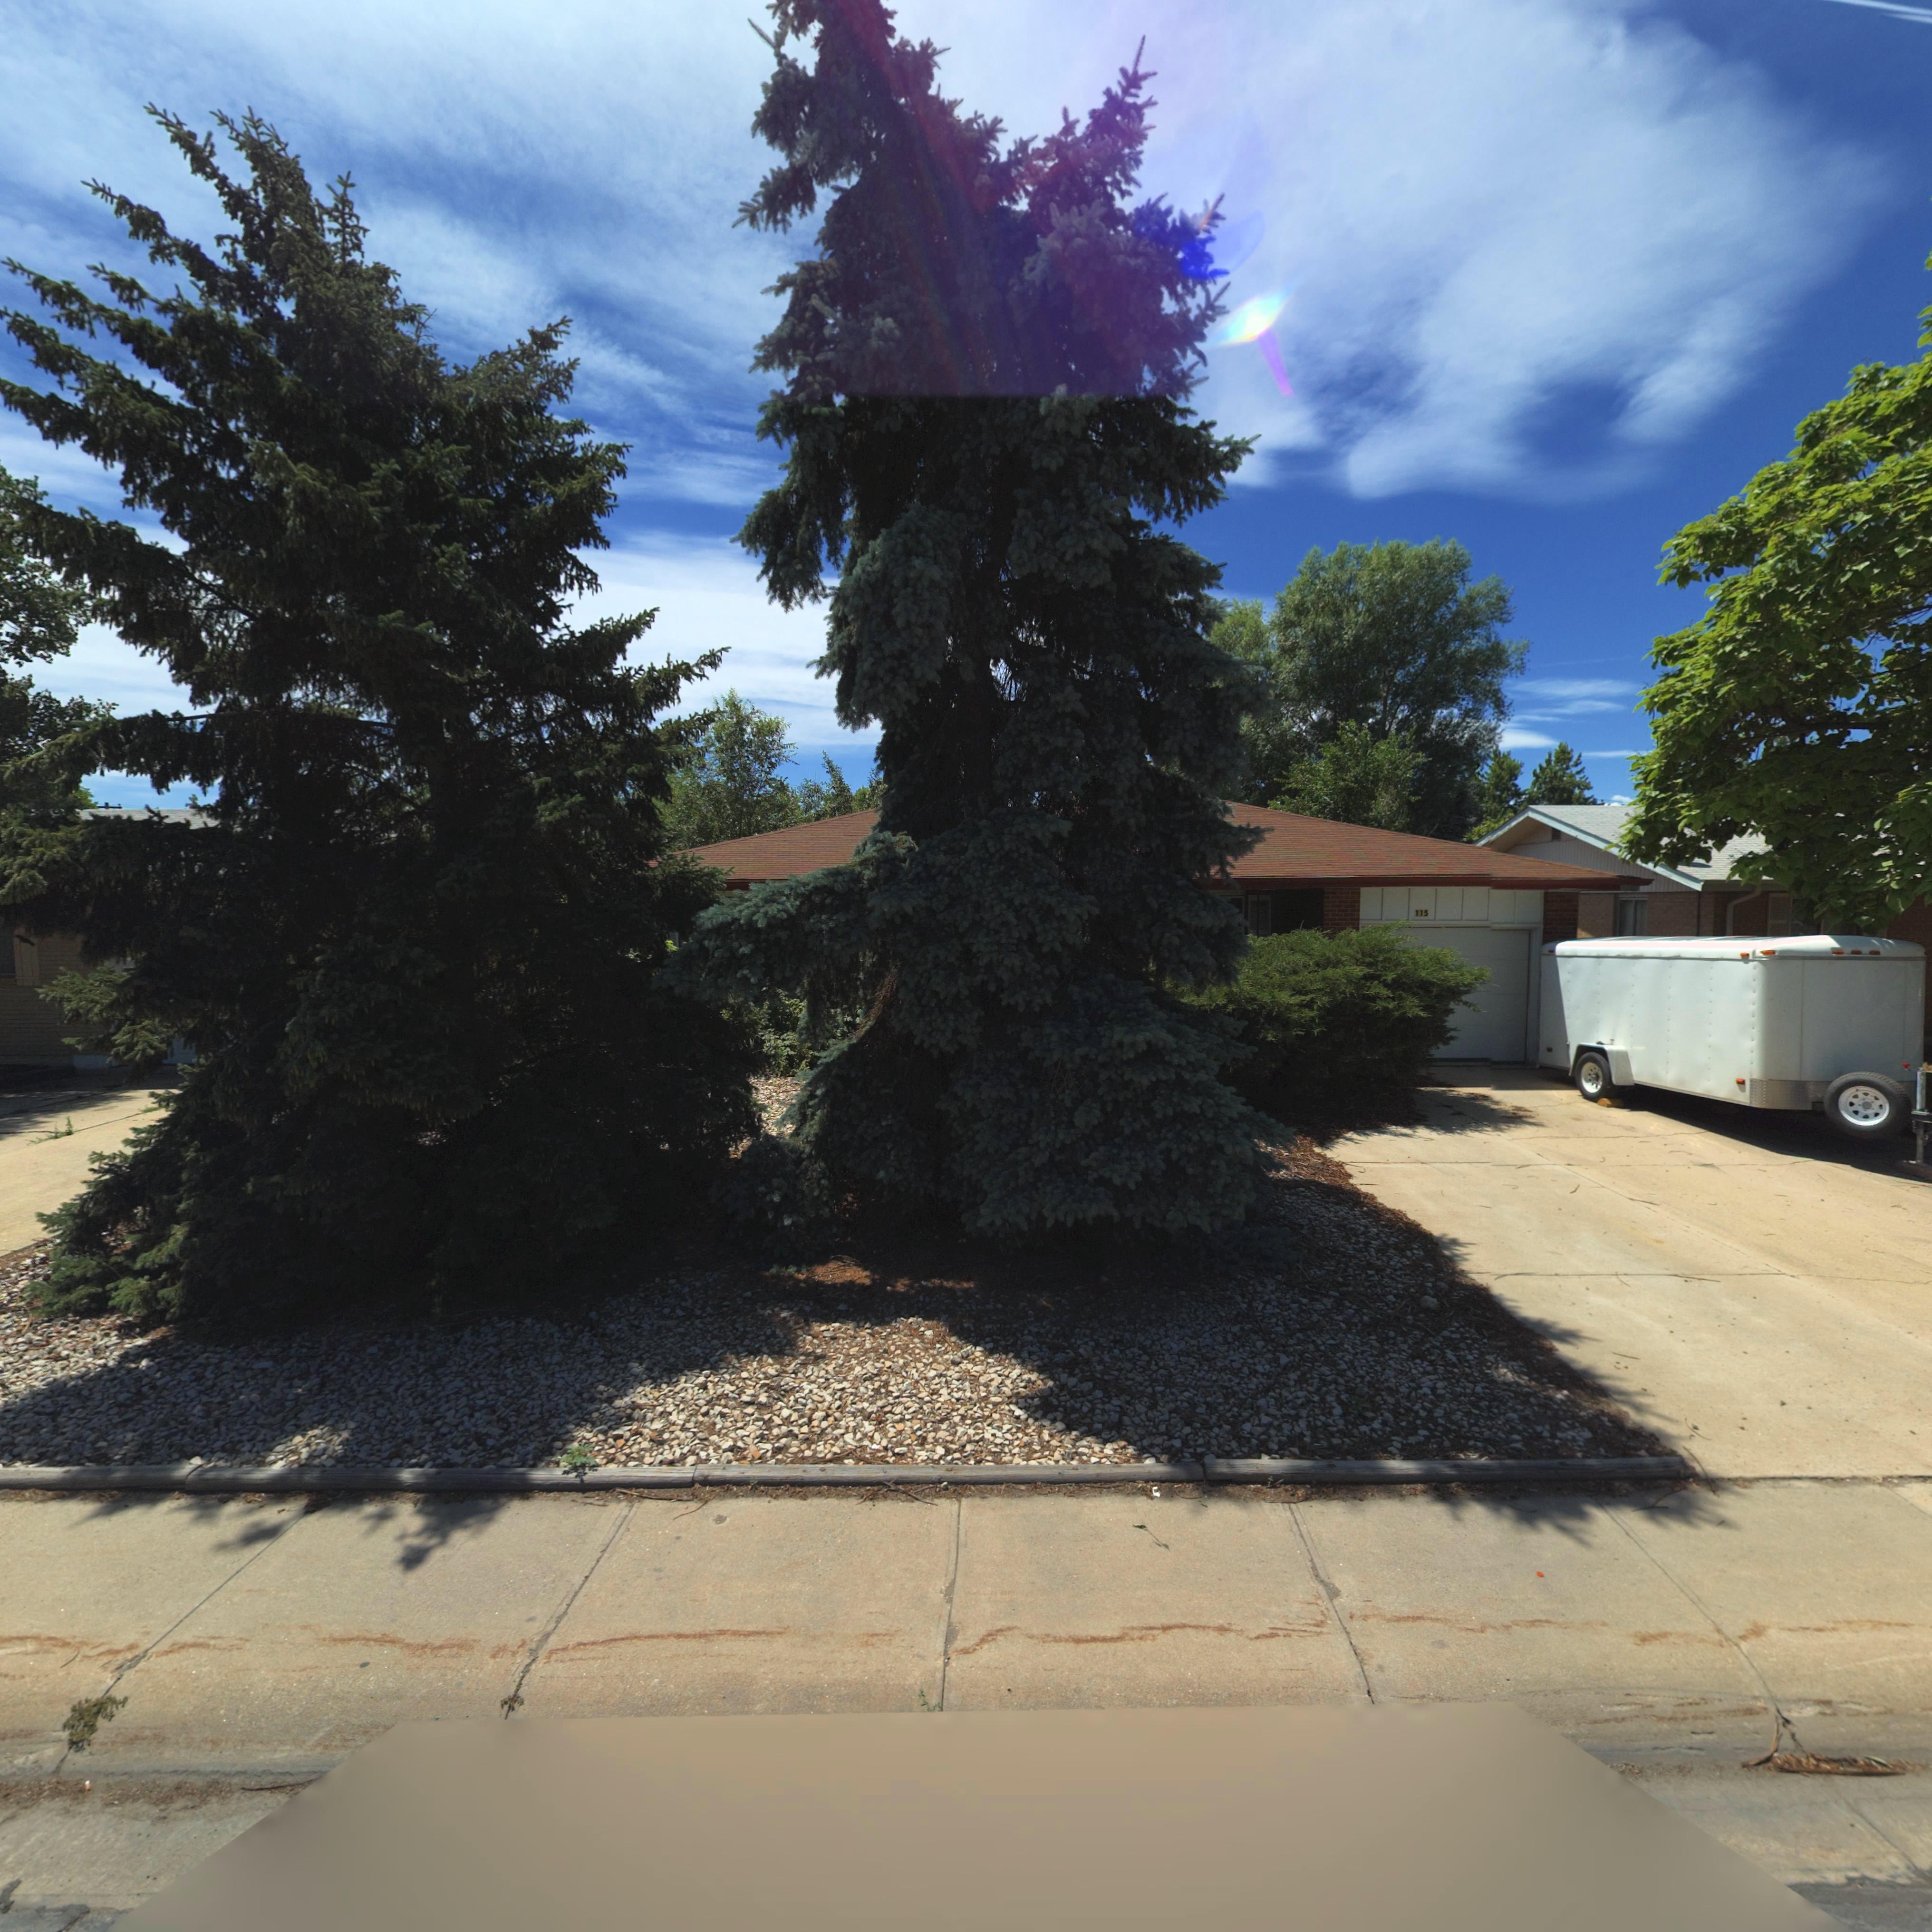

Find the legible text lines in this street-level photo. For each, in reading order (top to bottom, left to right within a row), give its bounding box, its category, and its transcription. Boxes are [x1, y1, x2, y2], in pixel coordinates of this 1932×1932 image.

[1416, 910, 1428, 917] StreetNumber: 115